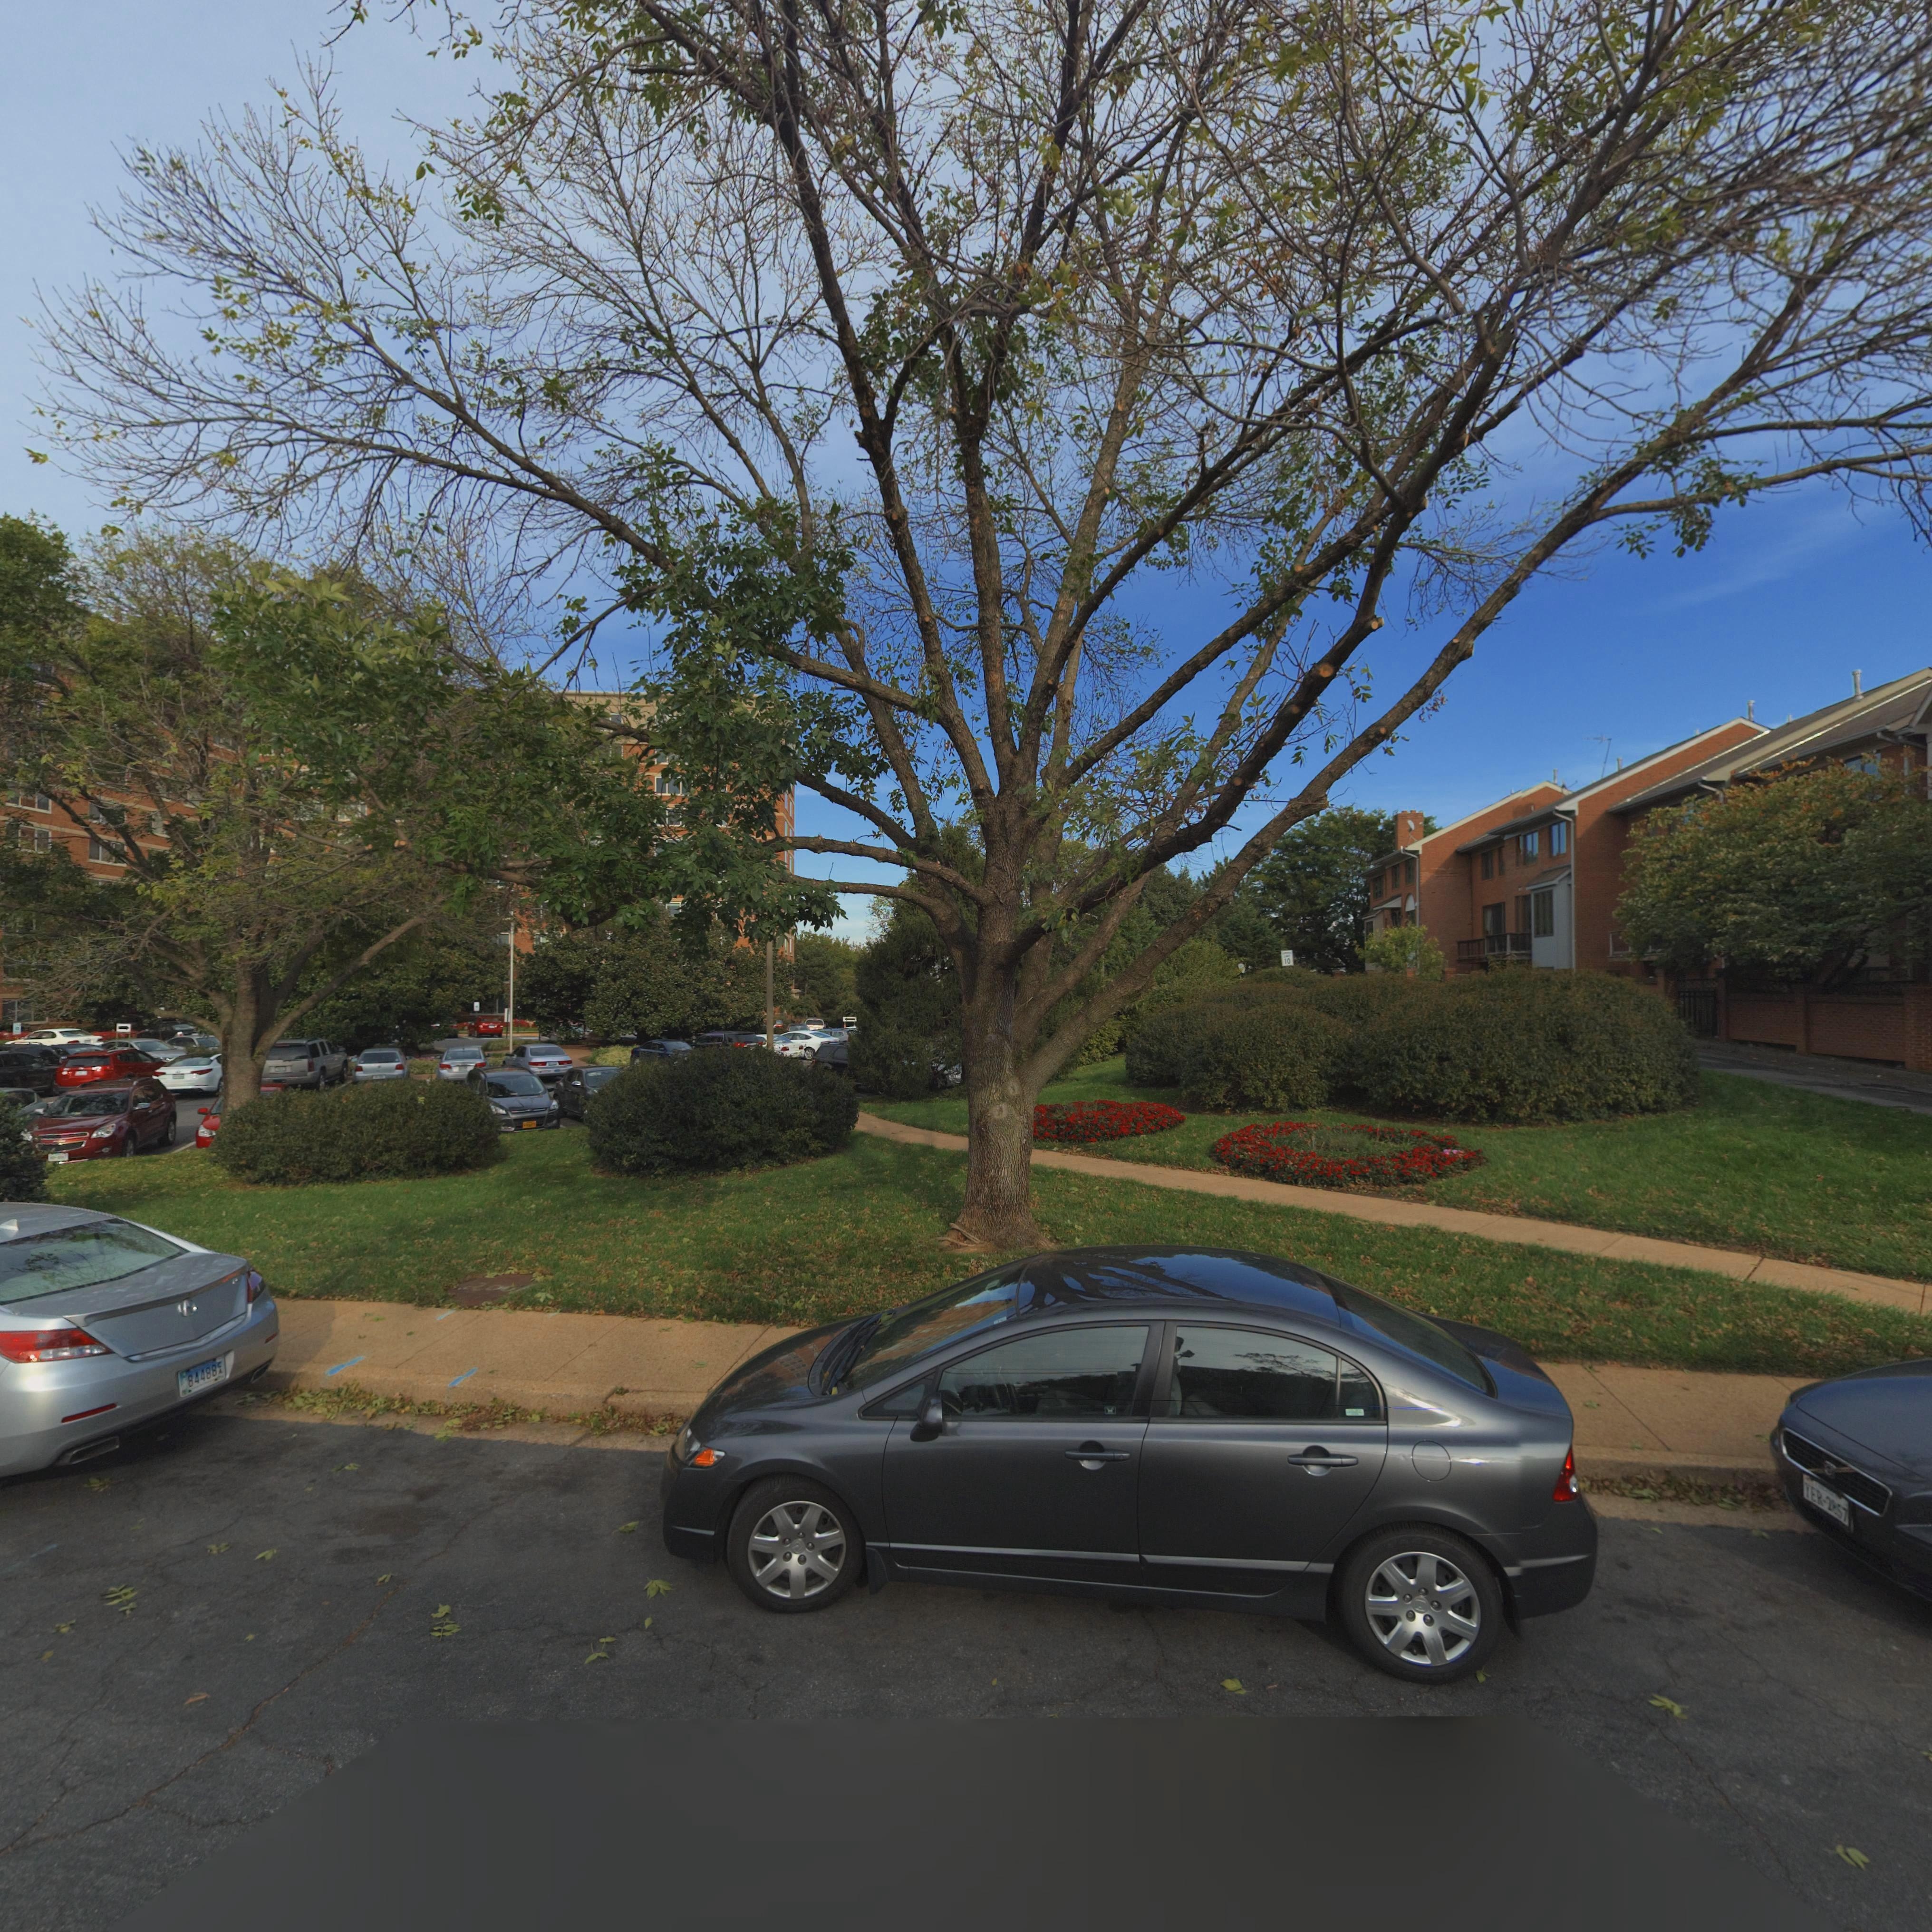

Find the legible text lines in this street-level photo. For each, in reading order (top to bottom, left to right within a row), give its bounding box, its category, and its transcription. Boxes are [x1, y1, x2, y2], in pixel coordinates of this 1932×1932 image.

[187, 1363, 219, 1388] None: 84488
[1803, 1483, 1849, 1523] None: YER-2857